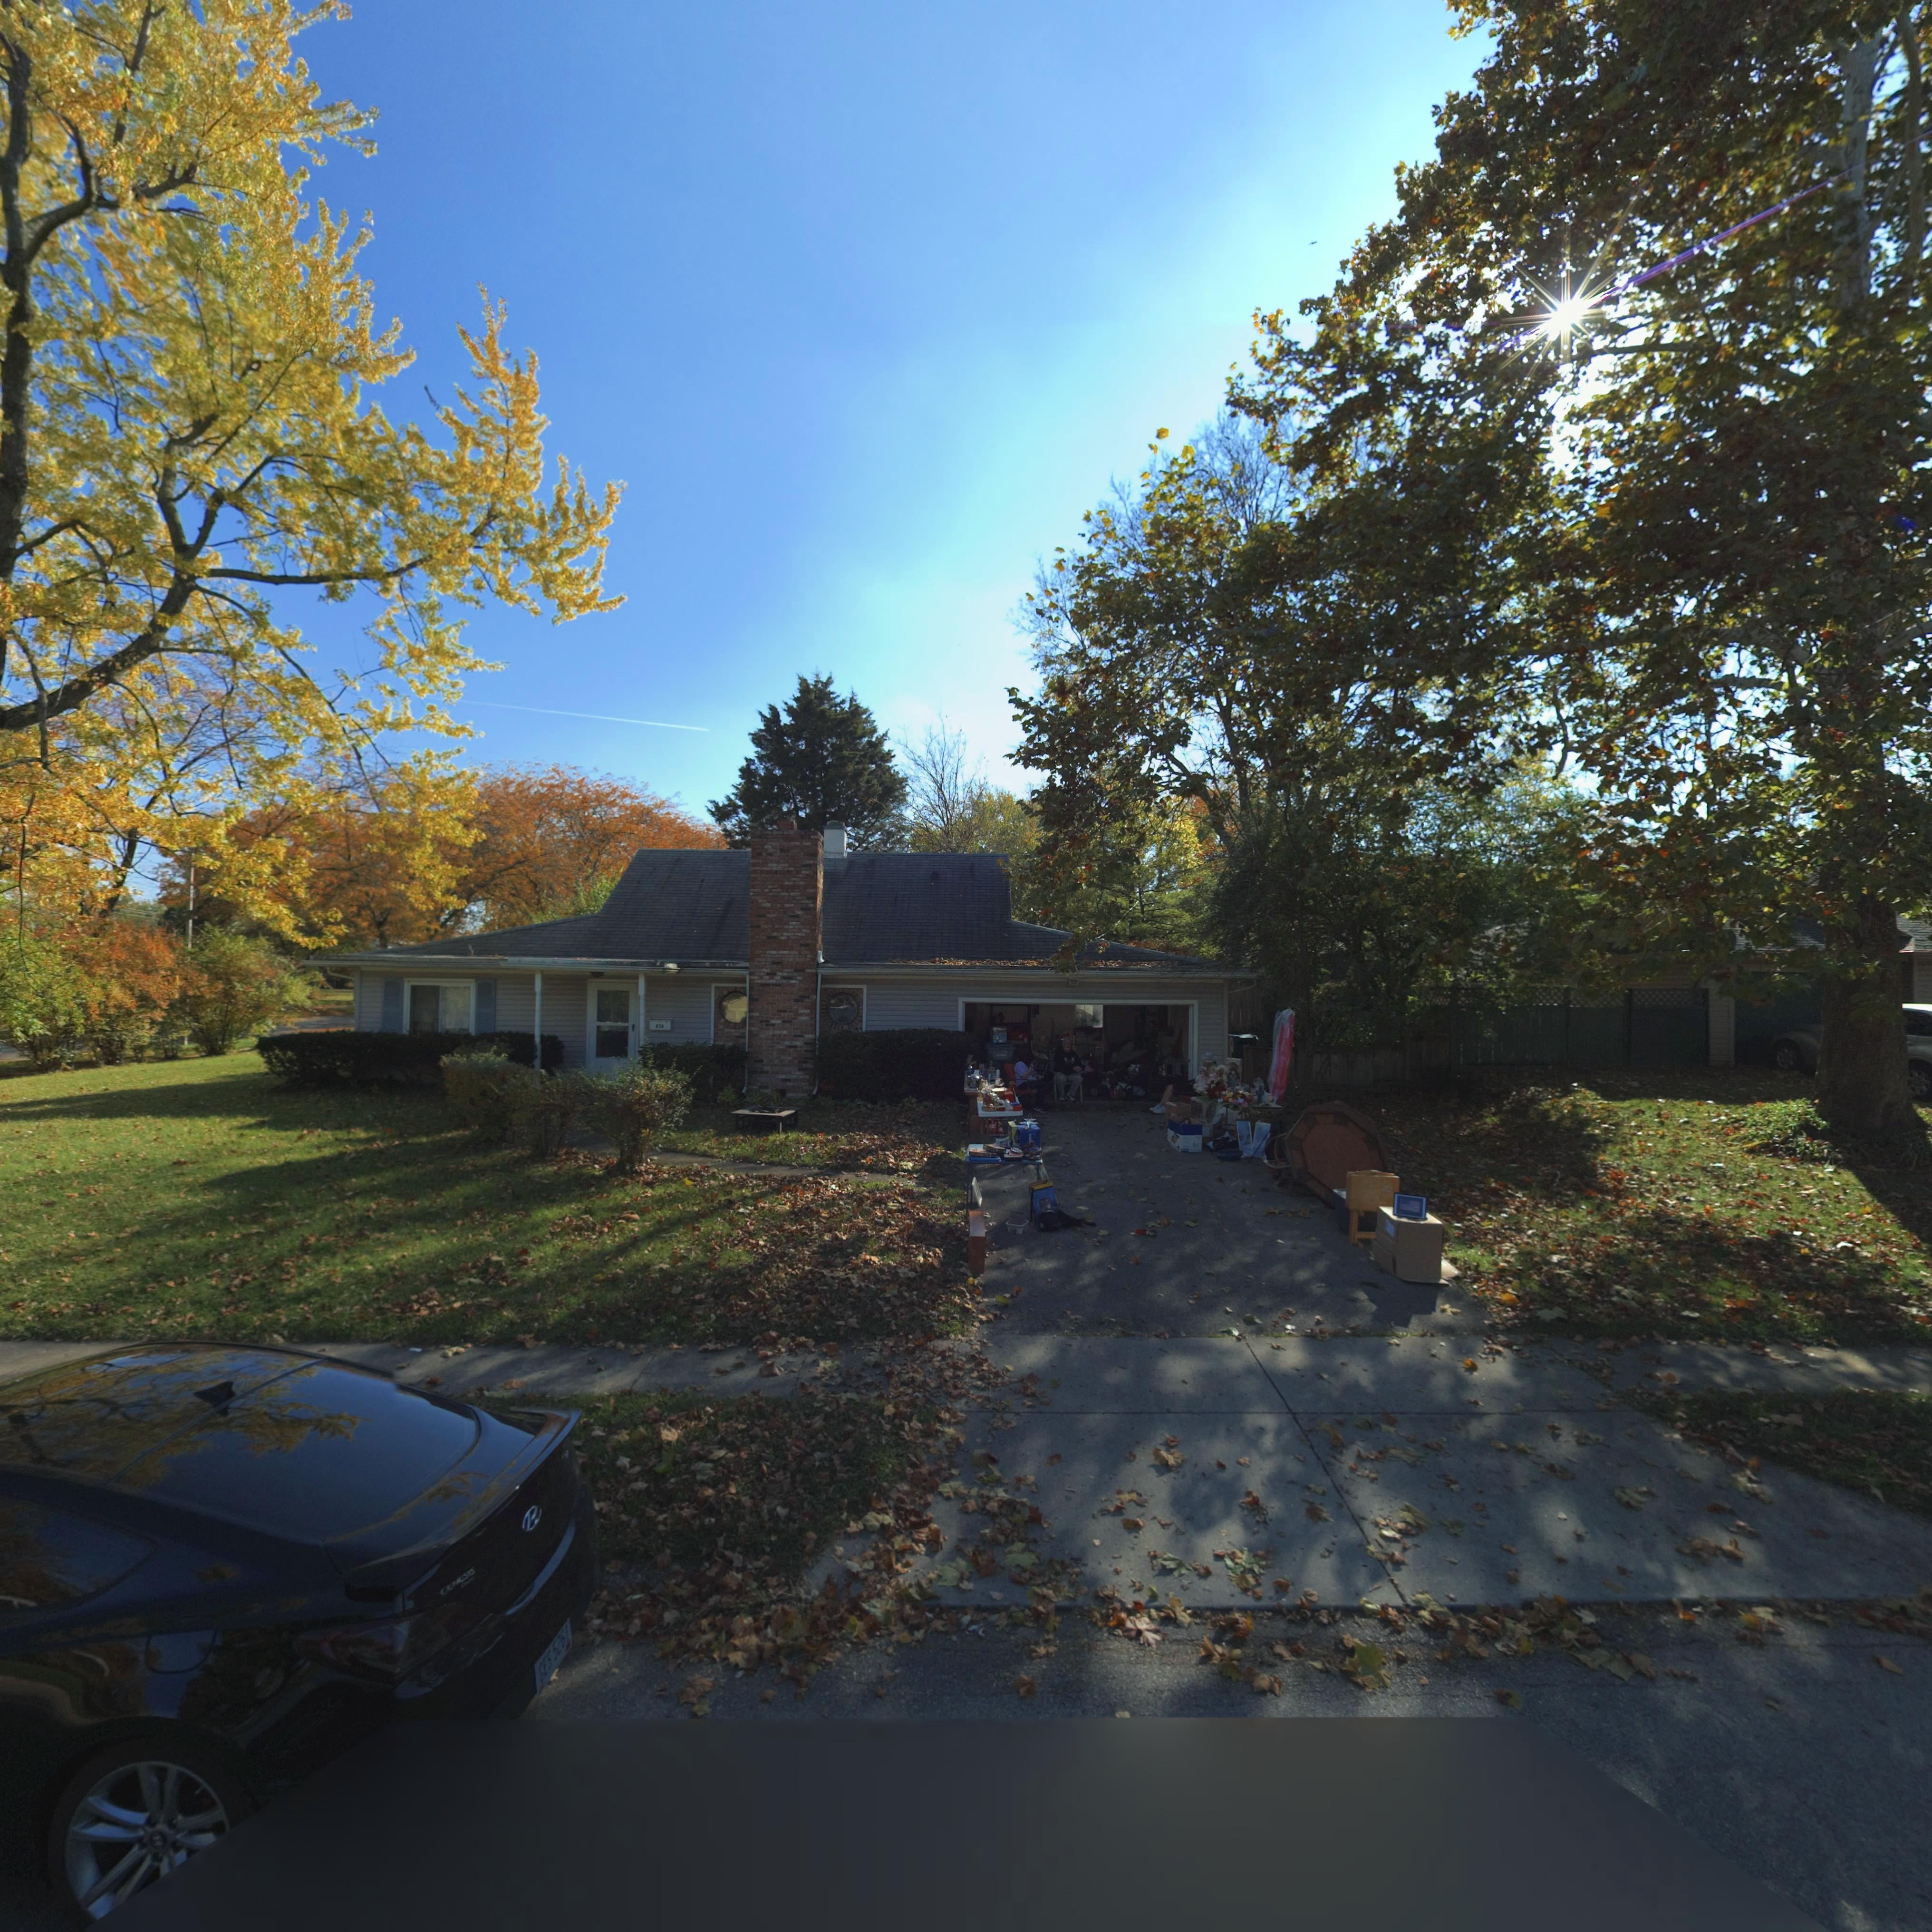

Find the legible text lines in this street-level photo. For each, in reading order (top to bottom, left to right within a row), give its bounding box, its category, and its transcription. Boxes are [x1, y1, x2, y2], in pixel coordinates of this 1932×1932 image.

[655, 1024, 665, 1029] StreetNumber: 856
[439, 1565, 476, 1596] None: GENESIS
[538, 1623, 570, 1685] None: GED*5261